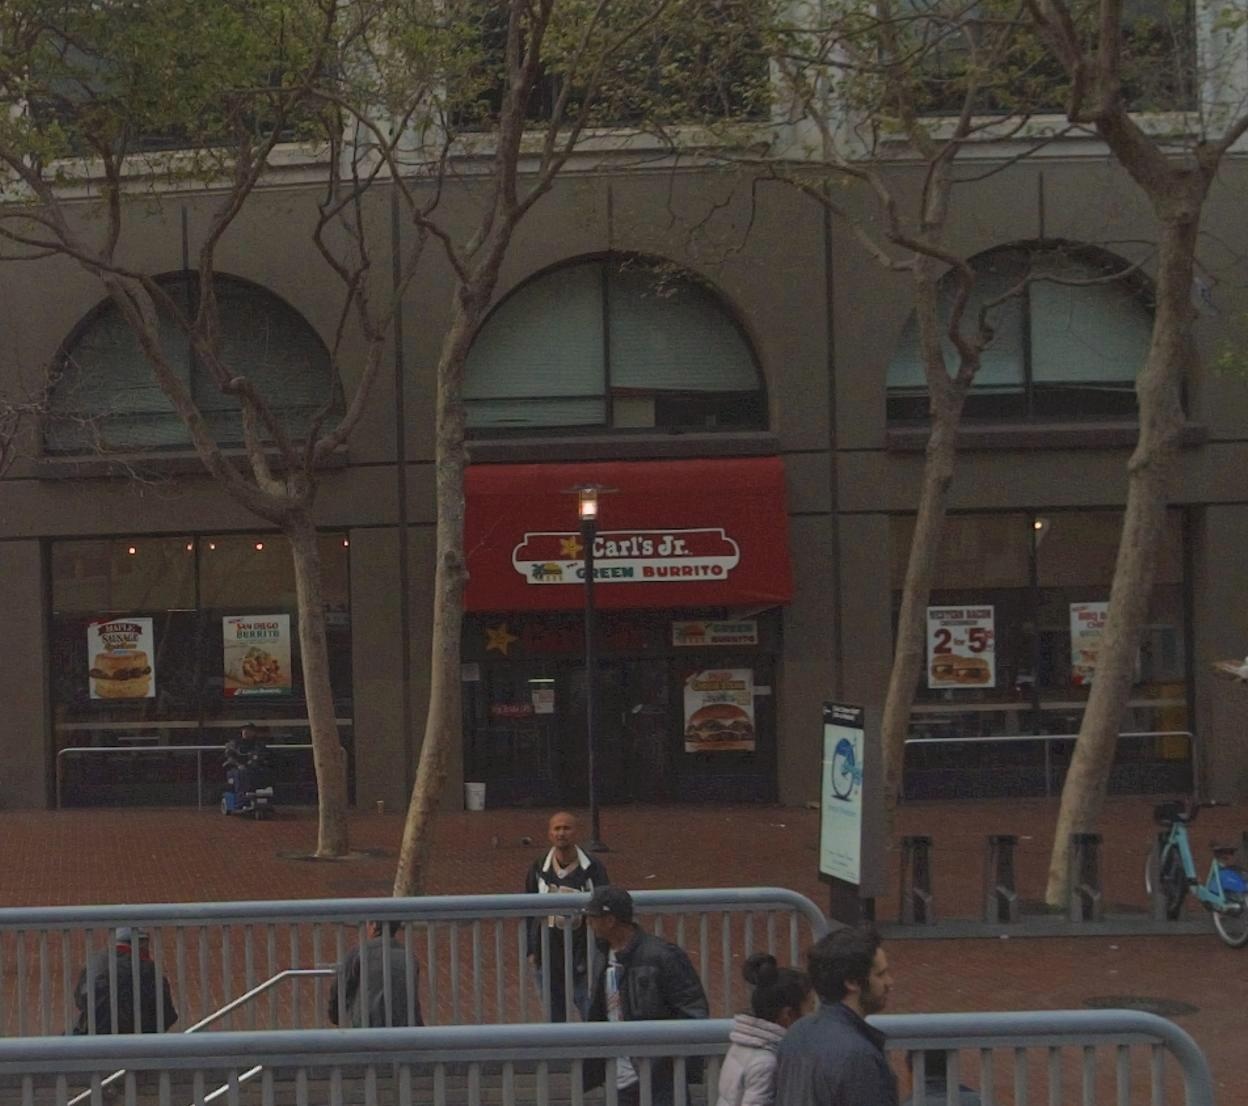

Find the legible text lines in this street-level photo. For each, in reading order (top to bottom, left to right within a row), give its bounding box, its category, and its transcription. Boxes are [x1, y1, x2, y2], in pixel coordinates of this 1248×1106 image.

[590, 532, 691, 560] BusinessName: *arl's Jr.
[597, 562, 726, 581] None: EEN BURRITO
[99, 630, 141, 646] None: S*USAGE
[234, 621, 255, 631] None: SAN
[234, 628, 282, 641] None: BURRITO
[930, 623, 990, 657] None: 2 for *5